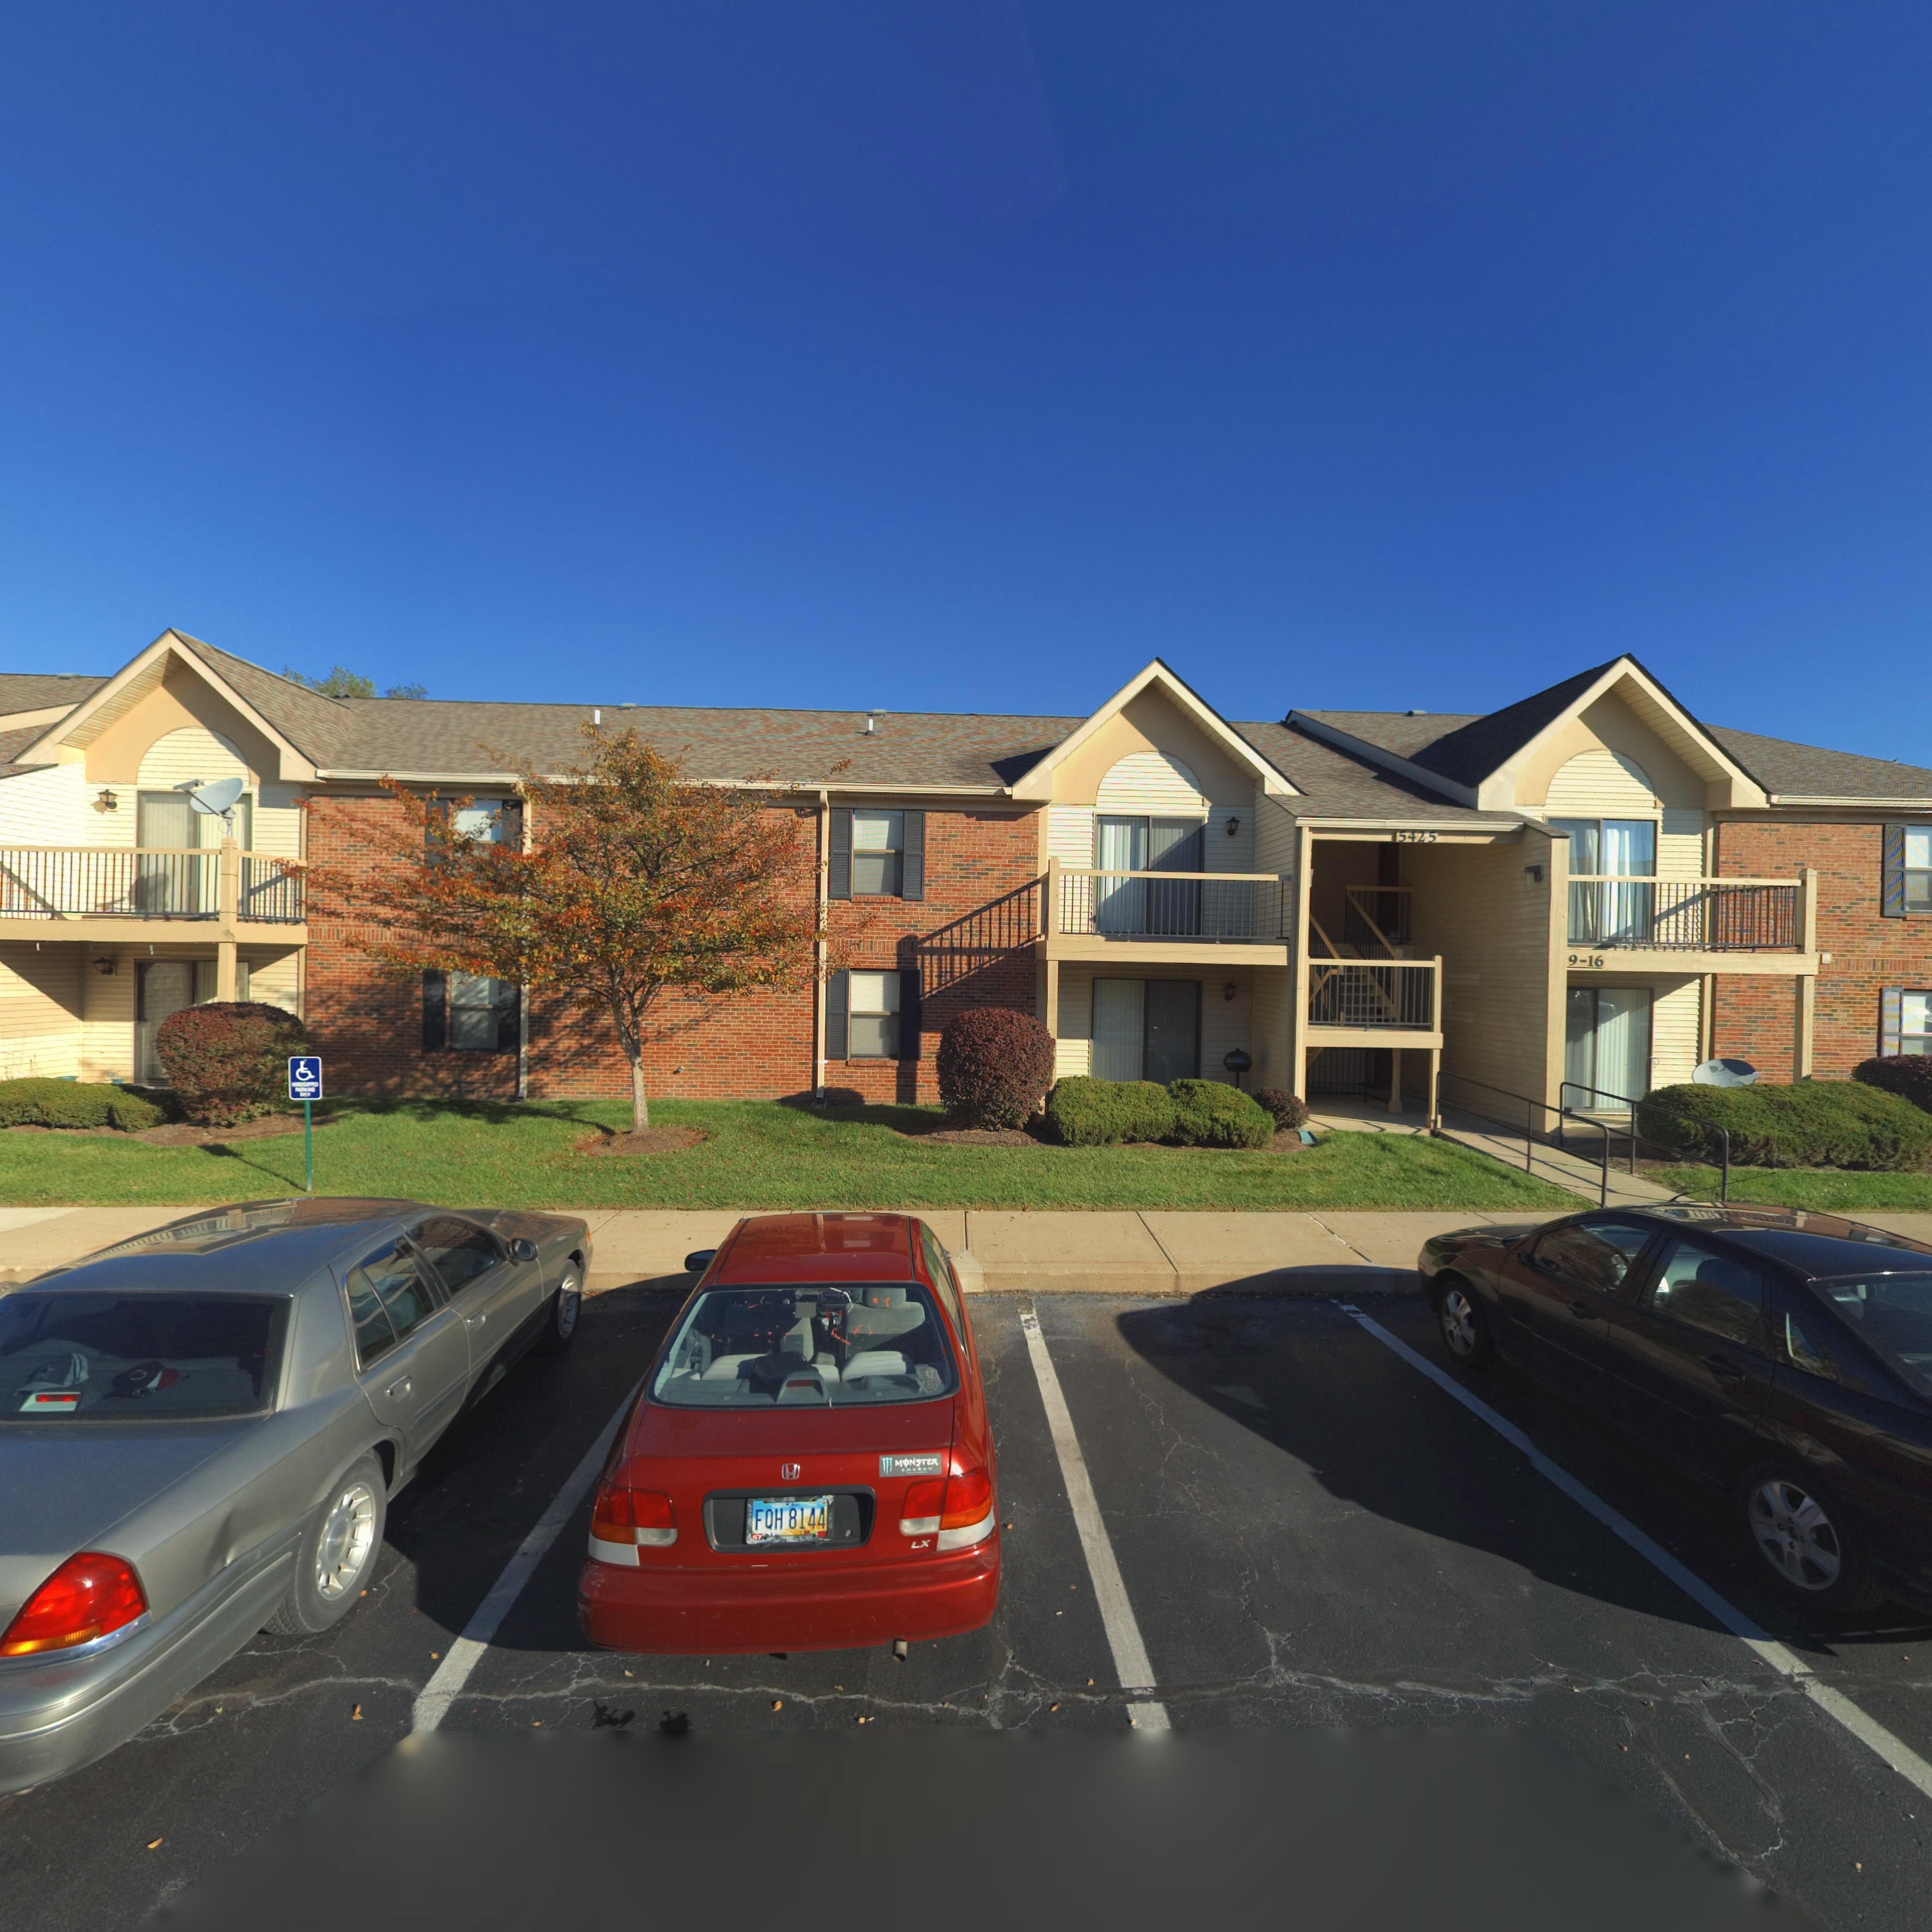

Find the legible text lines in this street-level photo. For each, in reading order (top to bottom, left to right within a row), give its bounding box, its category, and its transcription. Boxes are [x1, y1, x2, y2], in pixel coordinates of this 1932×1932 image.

[1397, 829, 1436, 843] StreetNumber: 5425
[1568, 954, 1604, 967] StreetNumber: 9-16